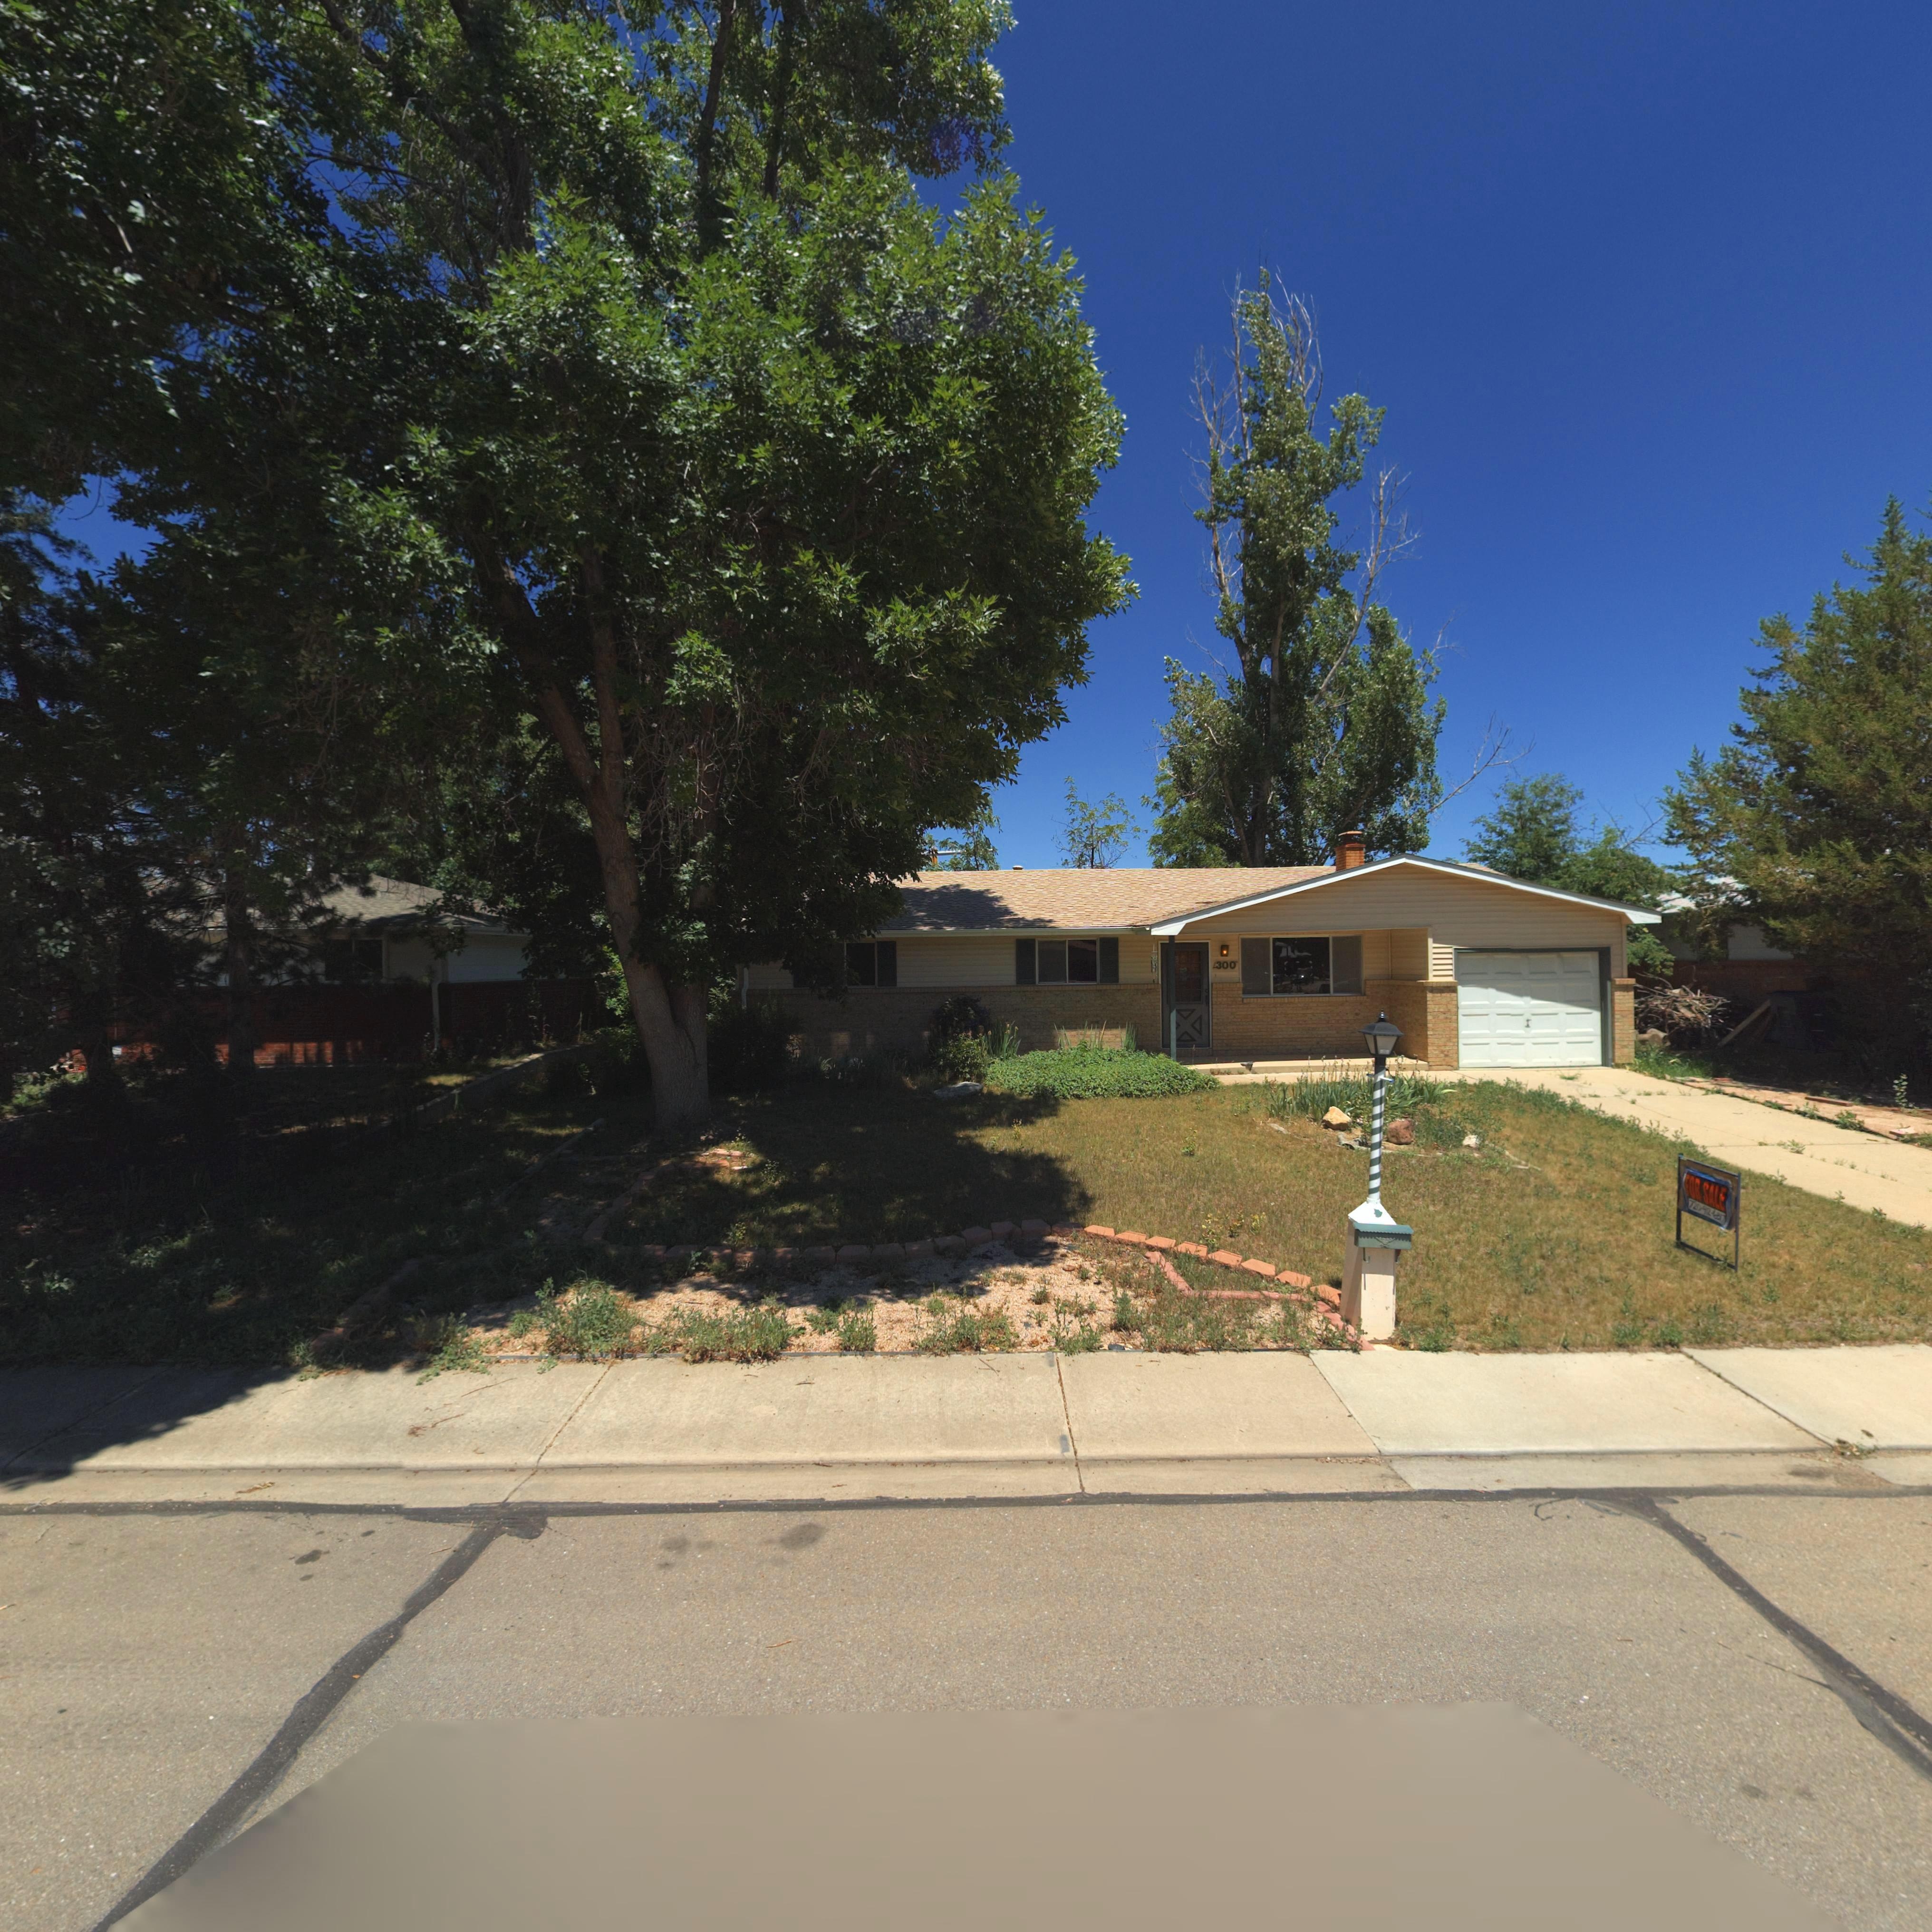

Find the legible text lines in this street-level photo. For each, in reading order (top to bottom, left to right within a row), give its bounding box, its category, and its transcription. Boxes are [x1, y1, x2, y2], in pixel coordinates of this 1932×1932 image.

[1216, 961, 1236, 969] StreetNumber: 300